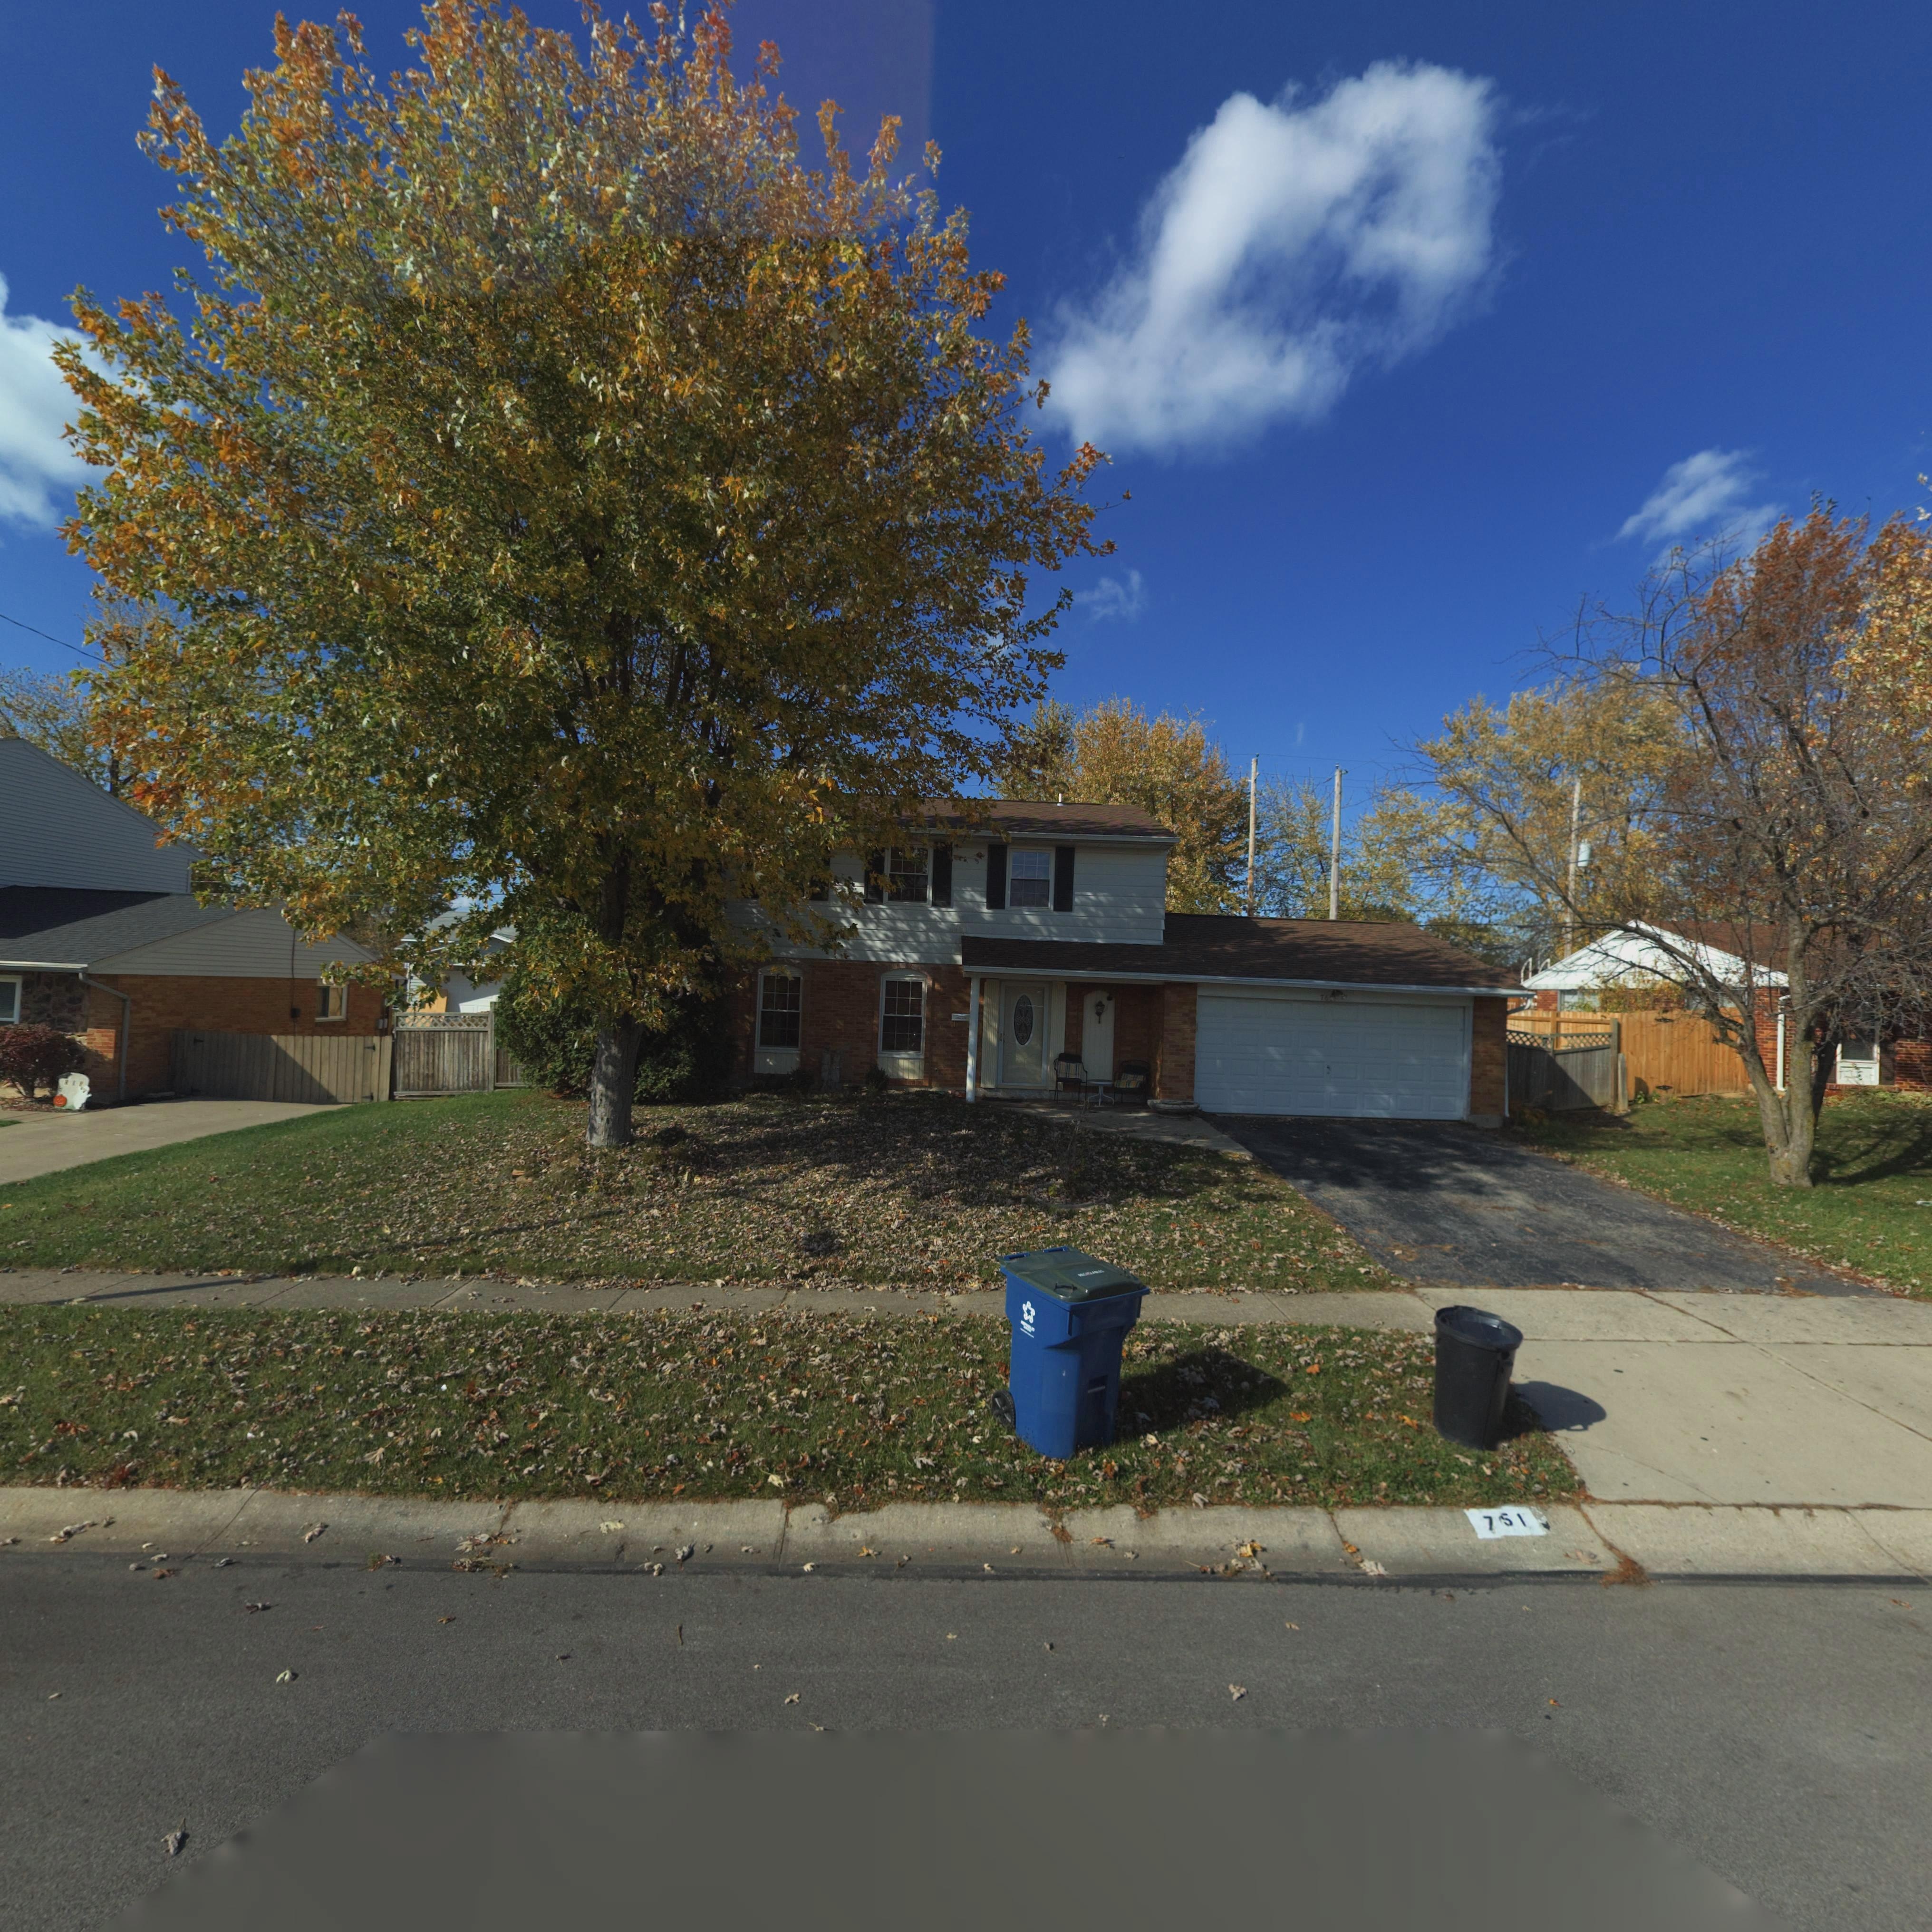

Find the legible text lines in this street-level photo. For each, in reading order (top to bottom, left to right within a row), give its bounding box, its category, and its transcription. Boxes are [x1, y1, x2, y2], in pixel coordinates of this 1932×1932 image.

[1319, 993, 1330, 1002] StreetNumber: 76
[1481, 1511, 1529, 1533] StreetNumber: 7*1